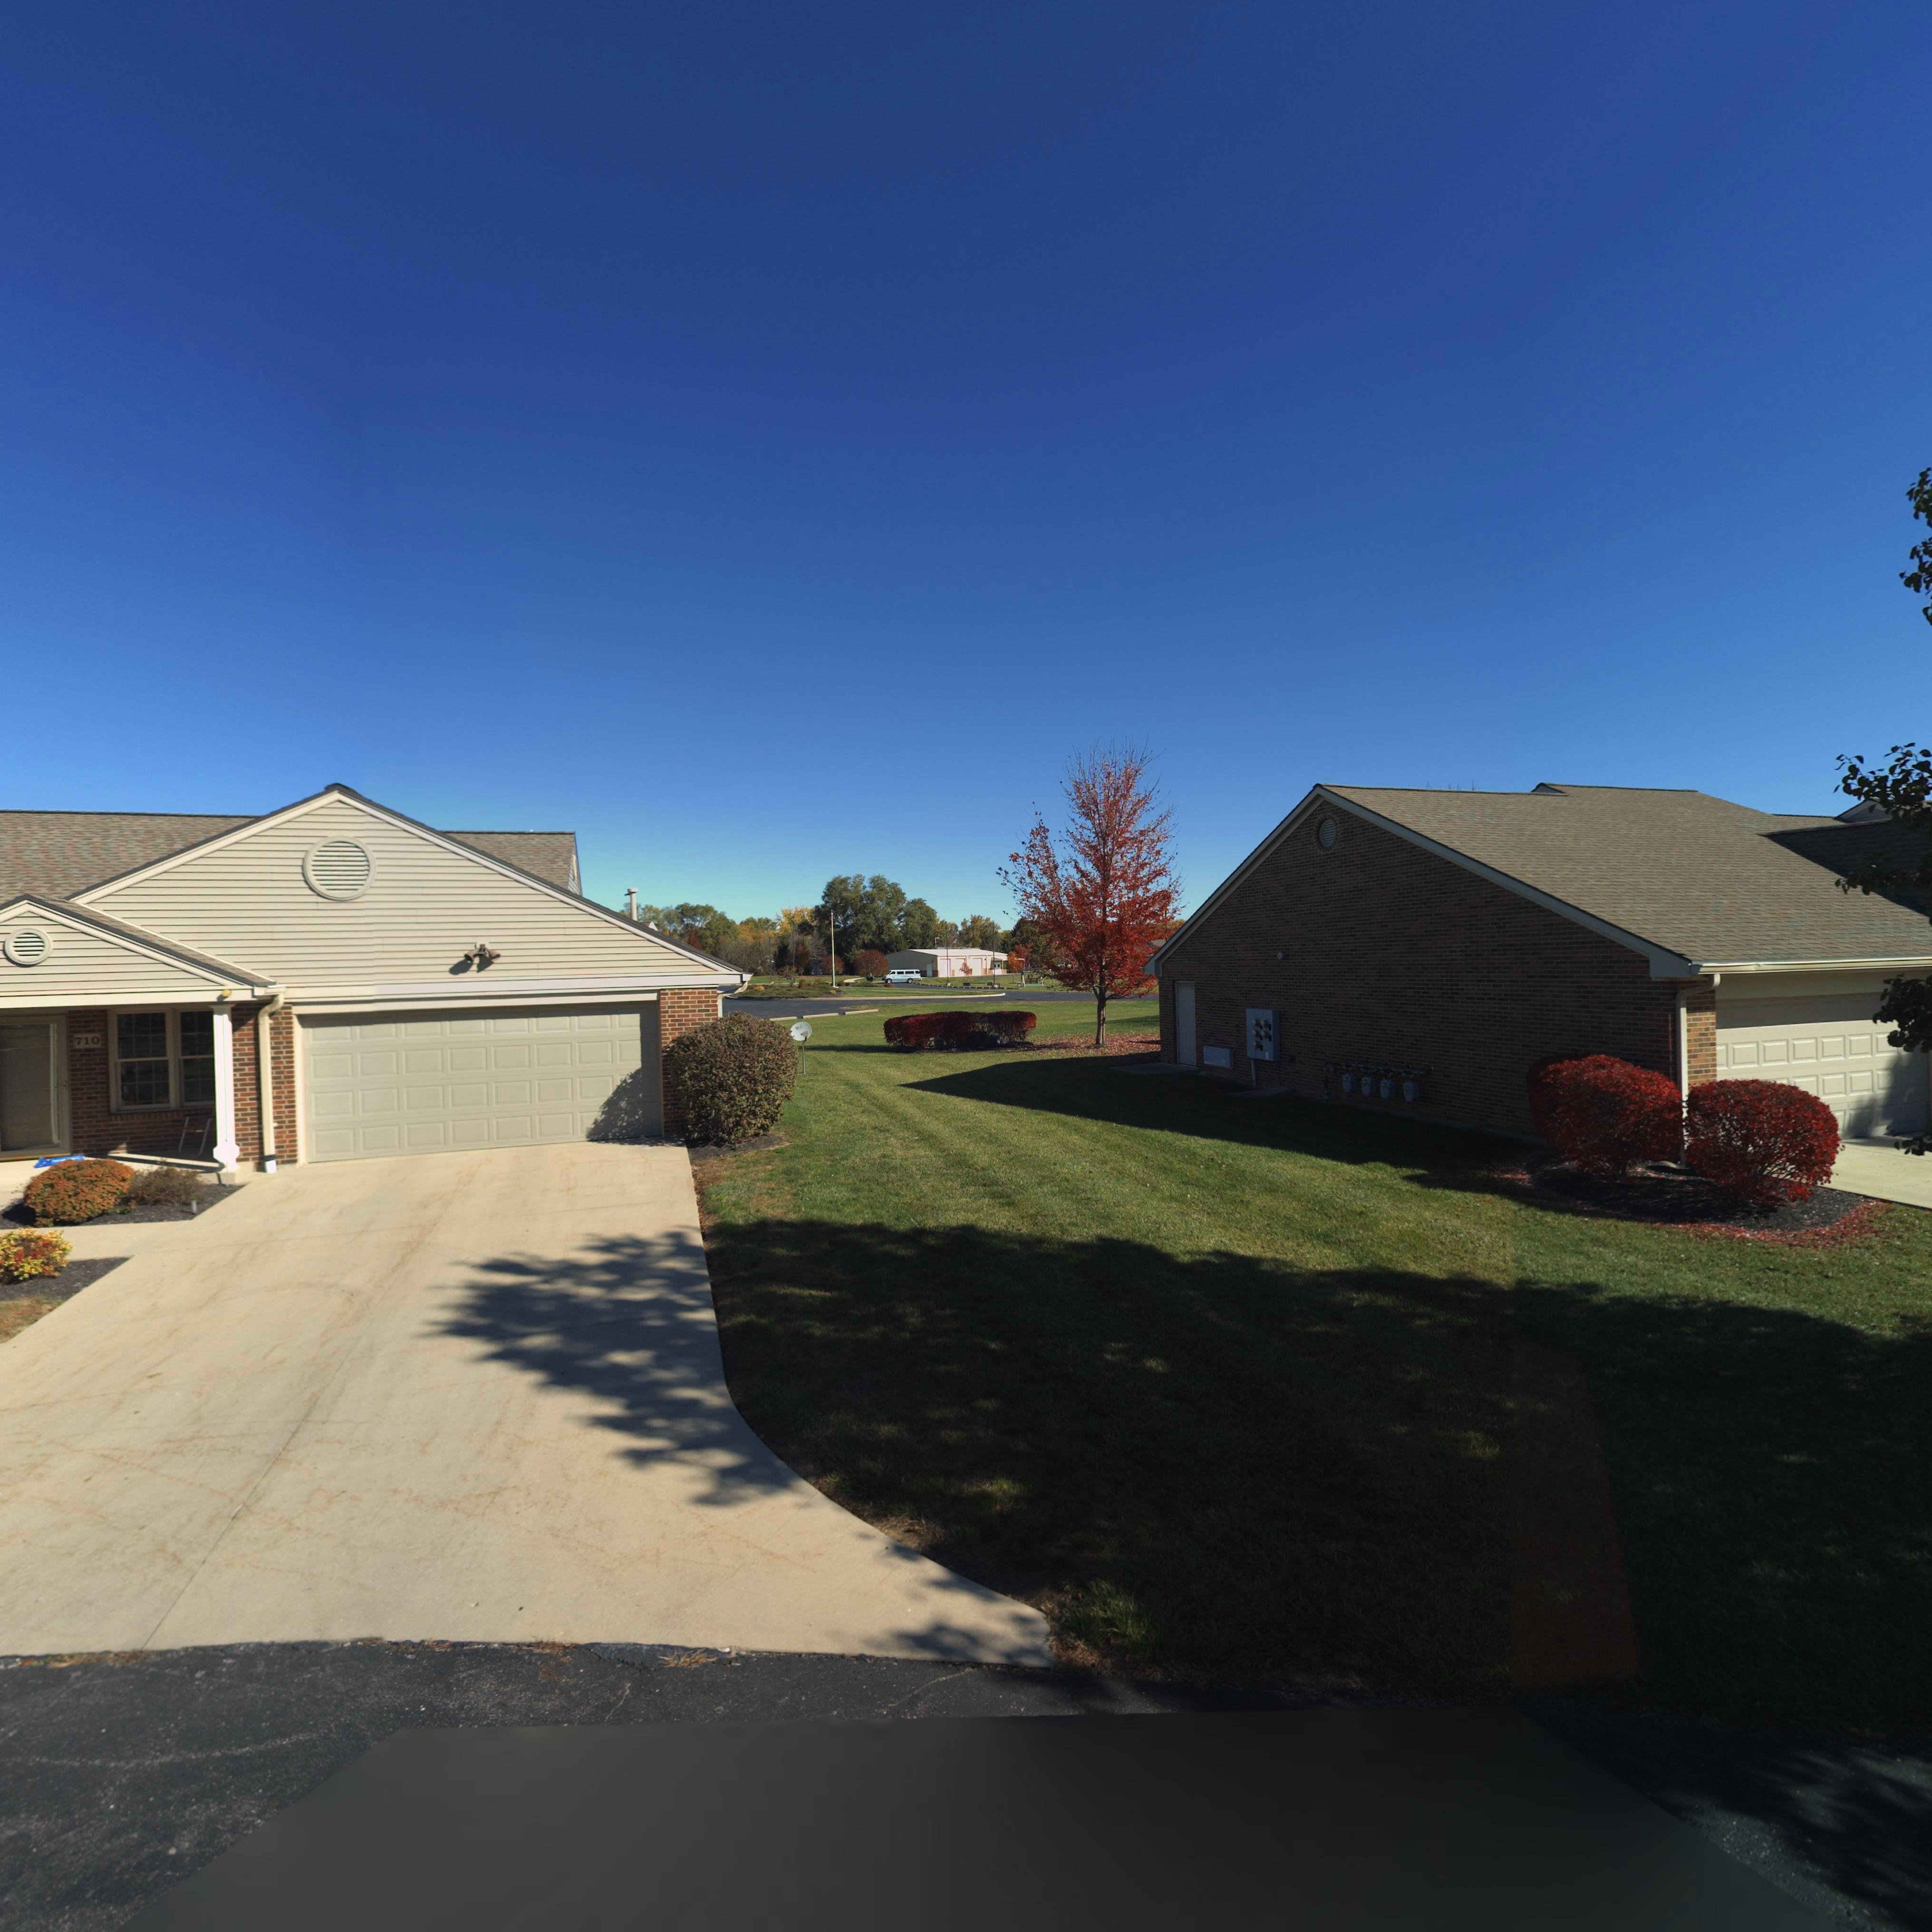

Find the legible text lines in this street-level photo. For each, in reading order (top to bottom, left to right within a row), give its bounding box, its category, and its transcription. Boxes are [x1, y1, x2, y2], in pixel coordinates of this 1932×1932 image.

[74, 1036, 100, 1045] StreetNumber: 710